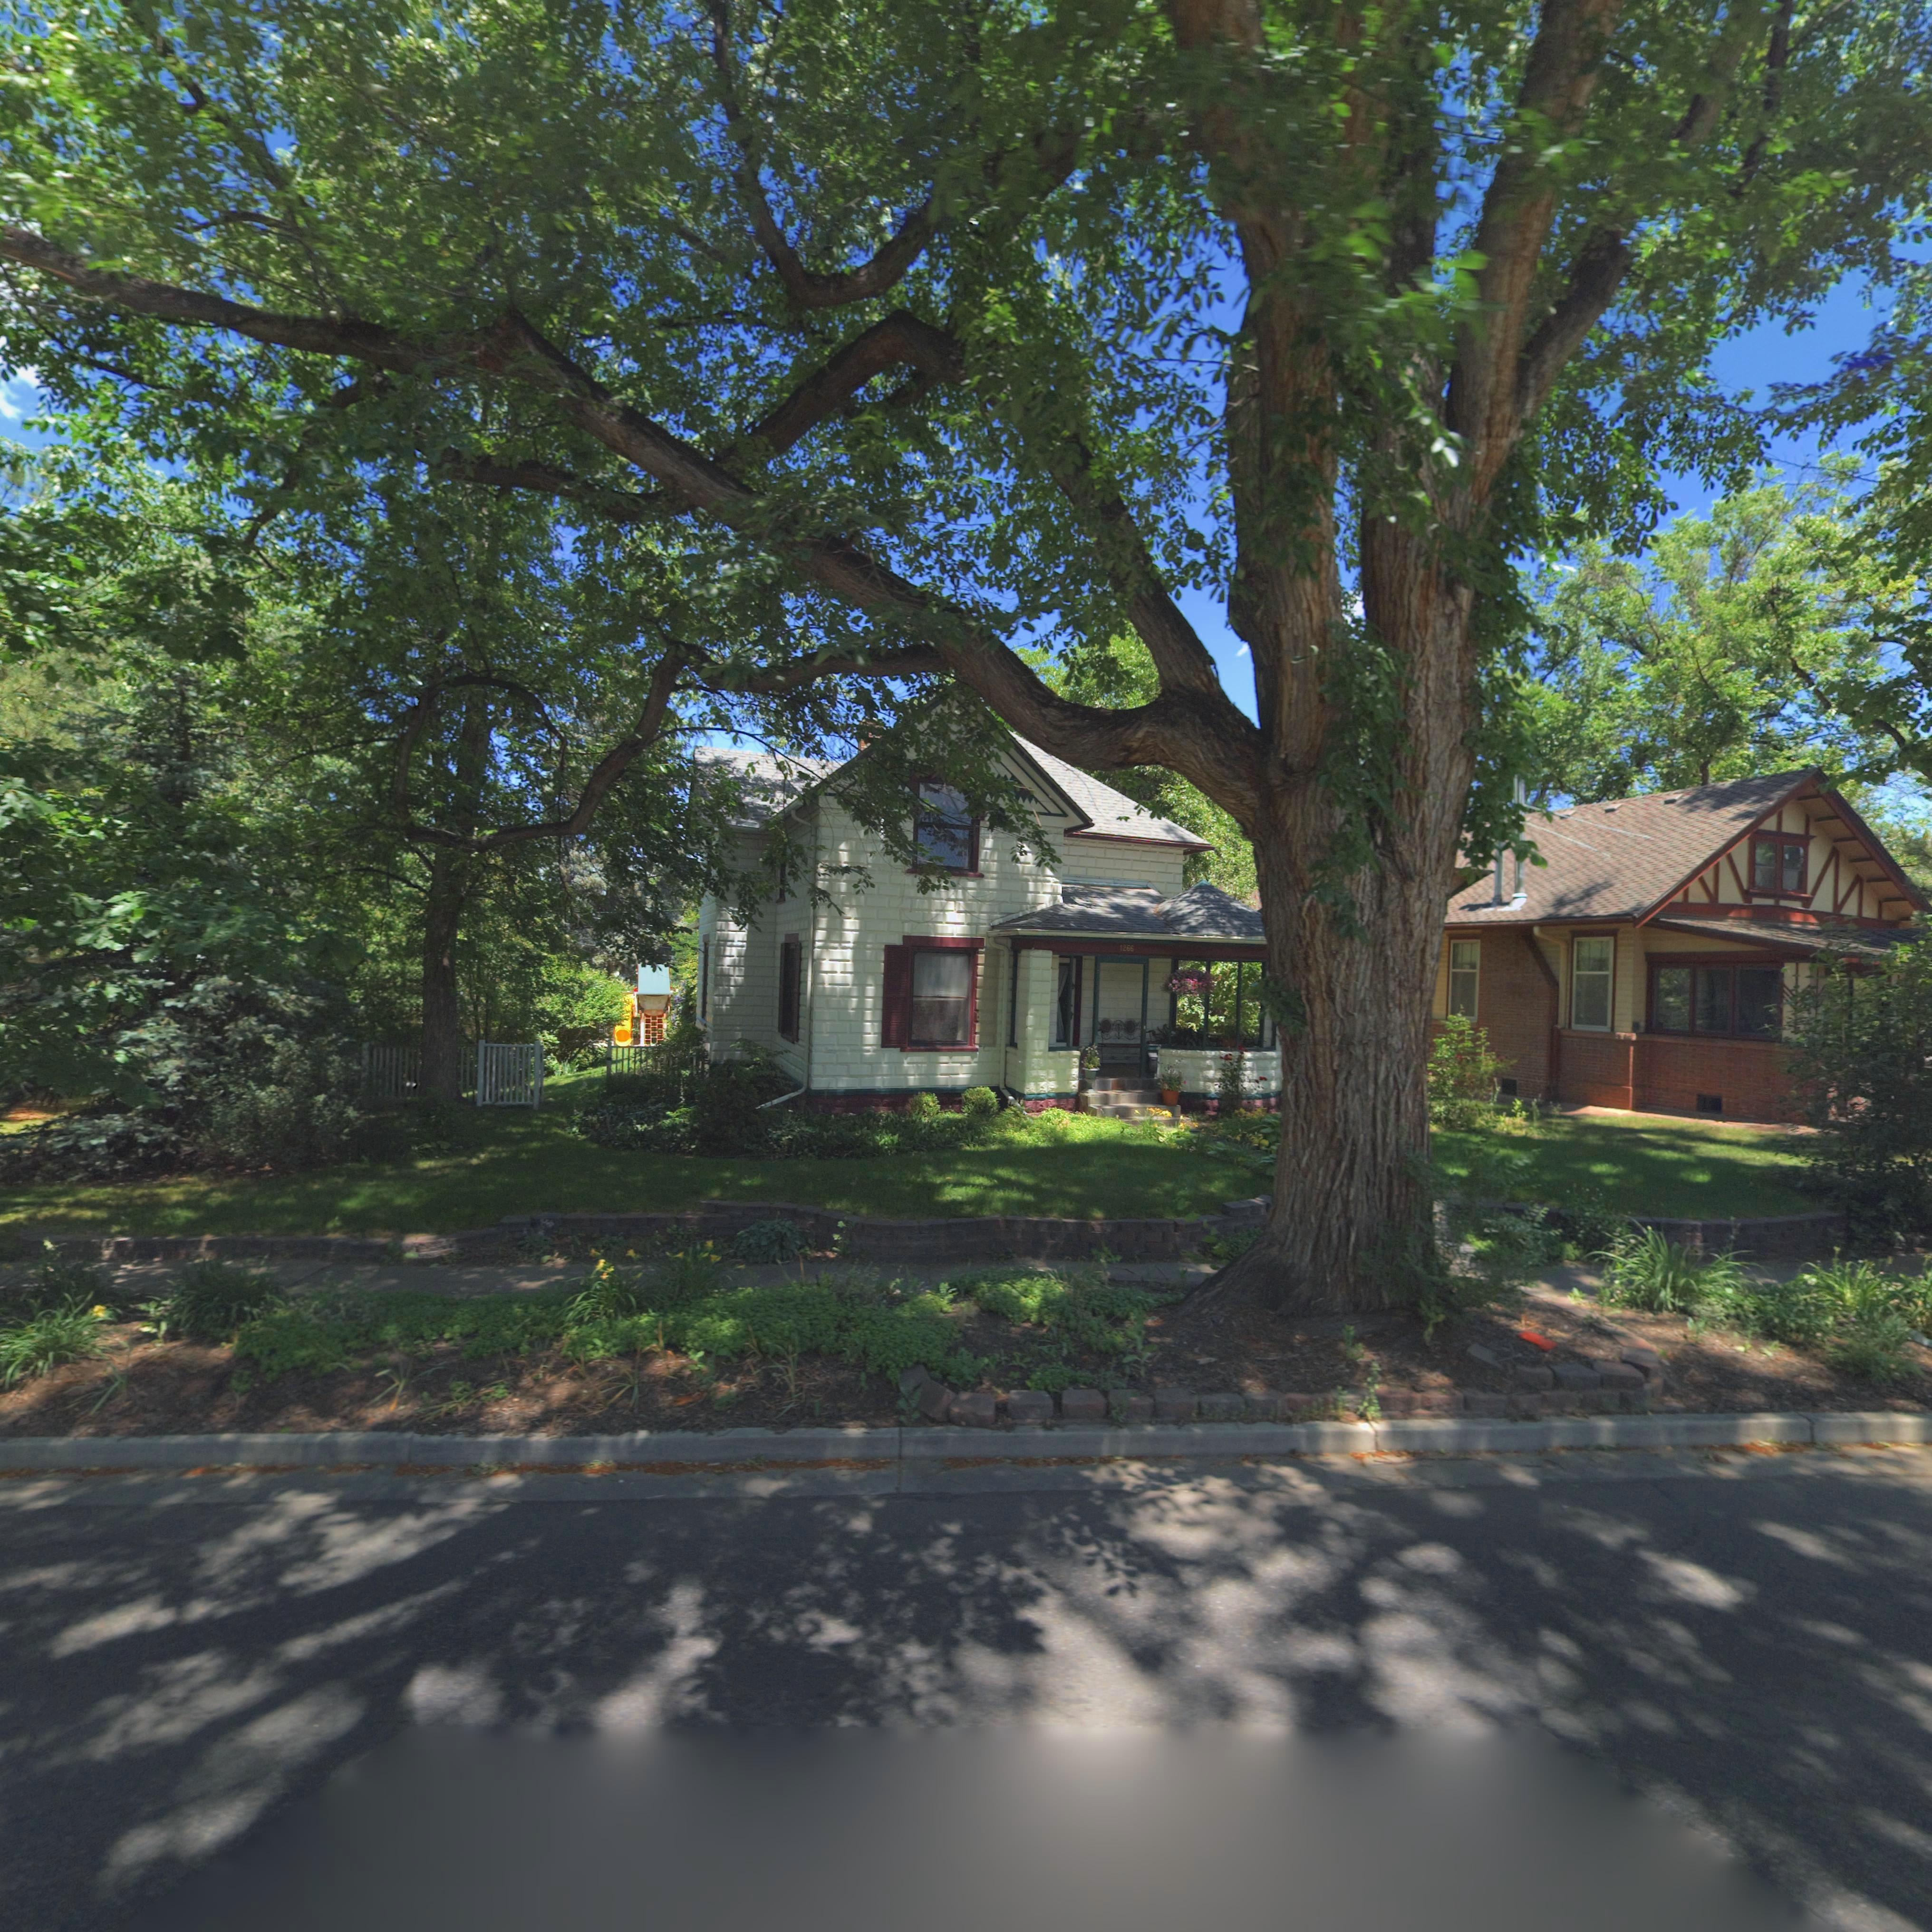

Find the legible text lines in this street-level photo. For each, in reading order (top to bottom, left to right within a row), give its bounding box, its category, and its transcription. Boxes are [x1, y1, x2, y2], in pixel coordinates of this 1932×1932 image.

[1120, 945, 1134, 952] StreetNumber: 1266